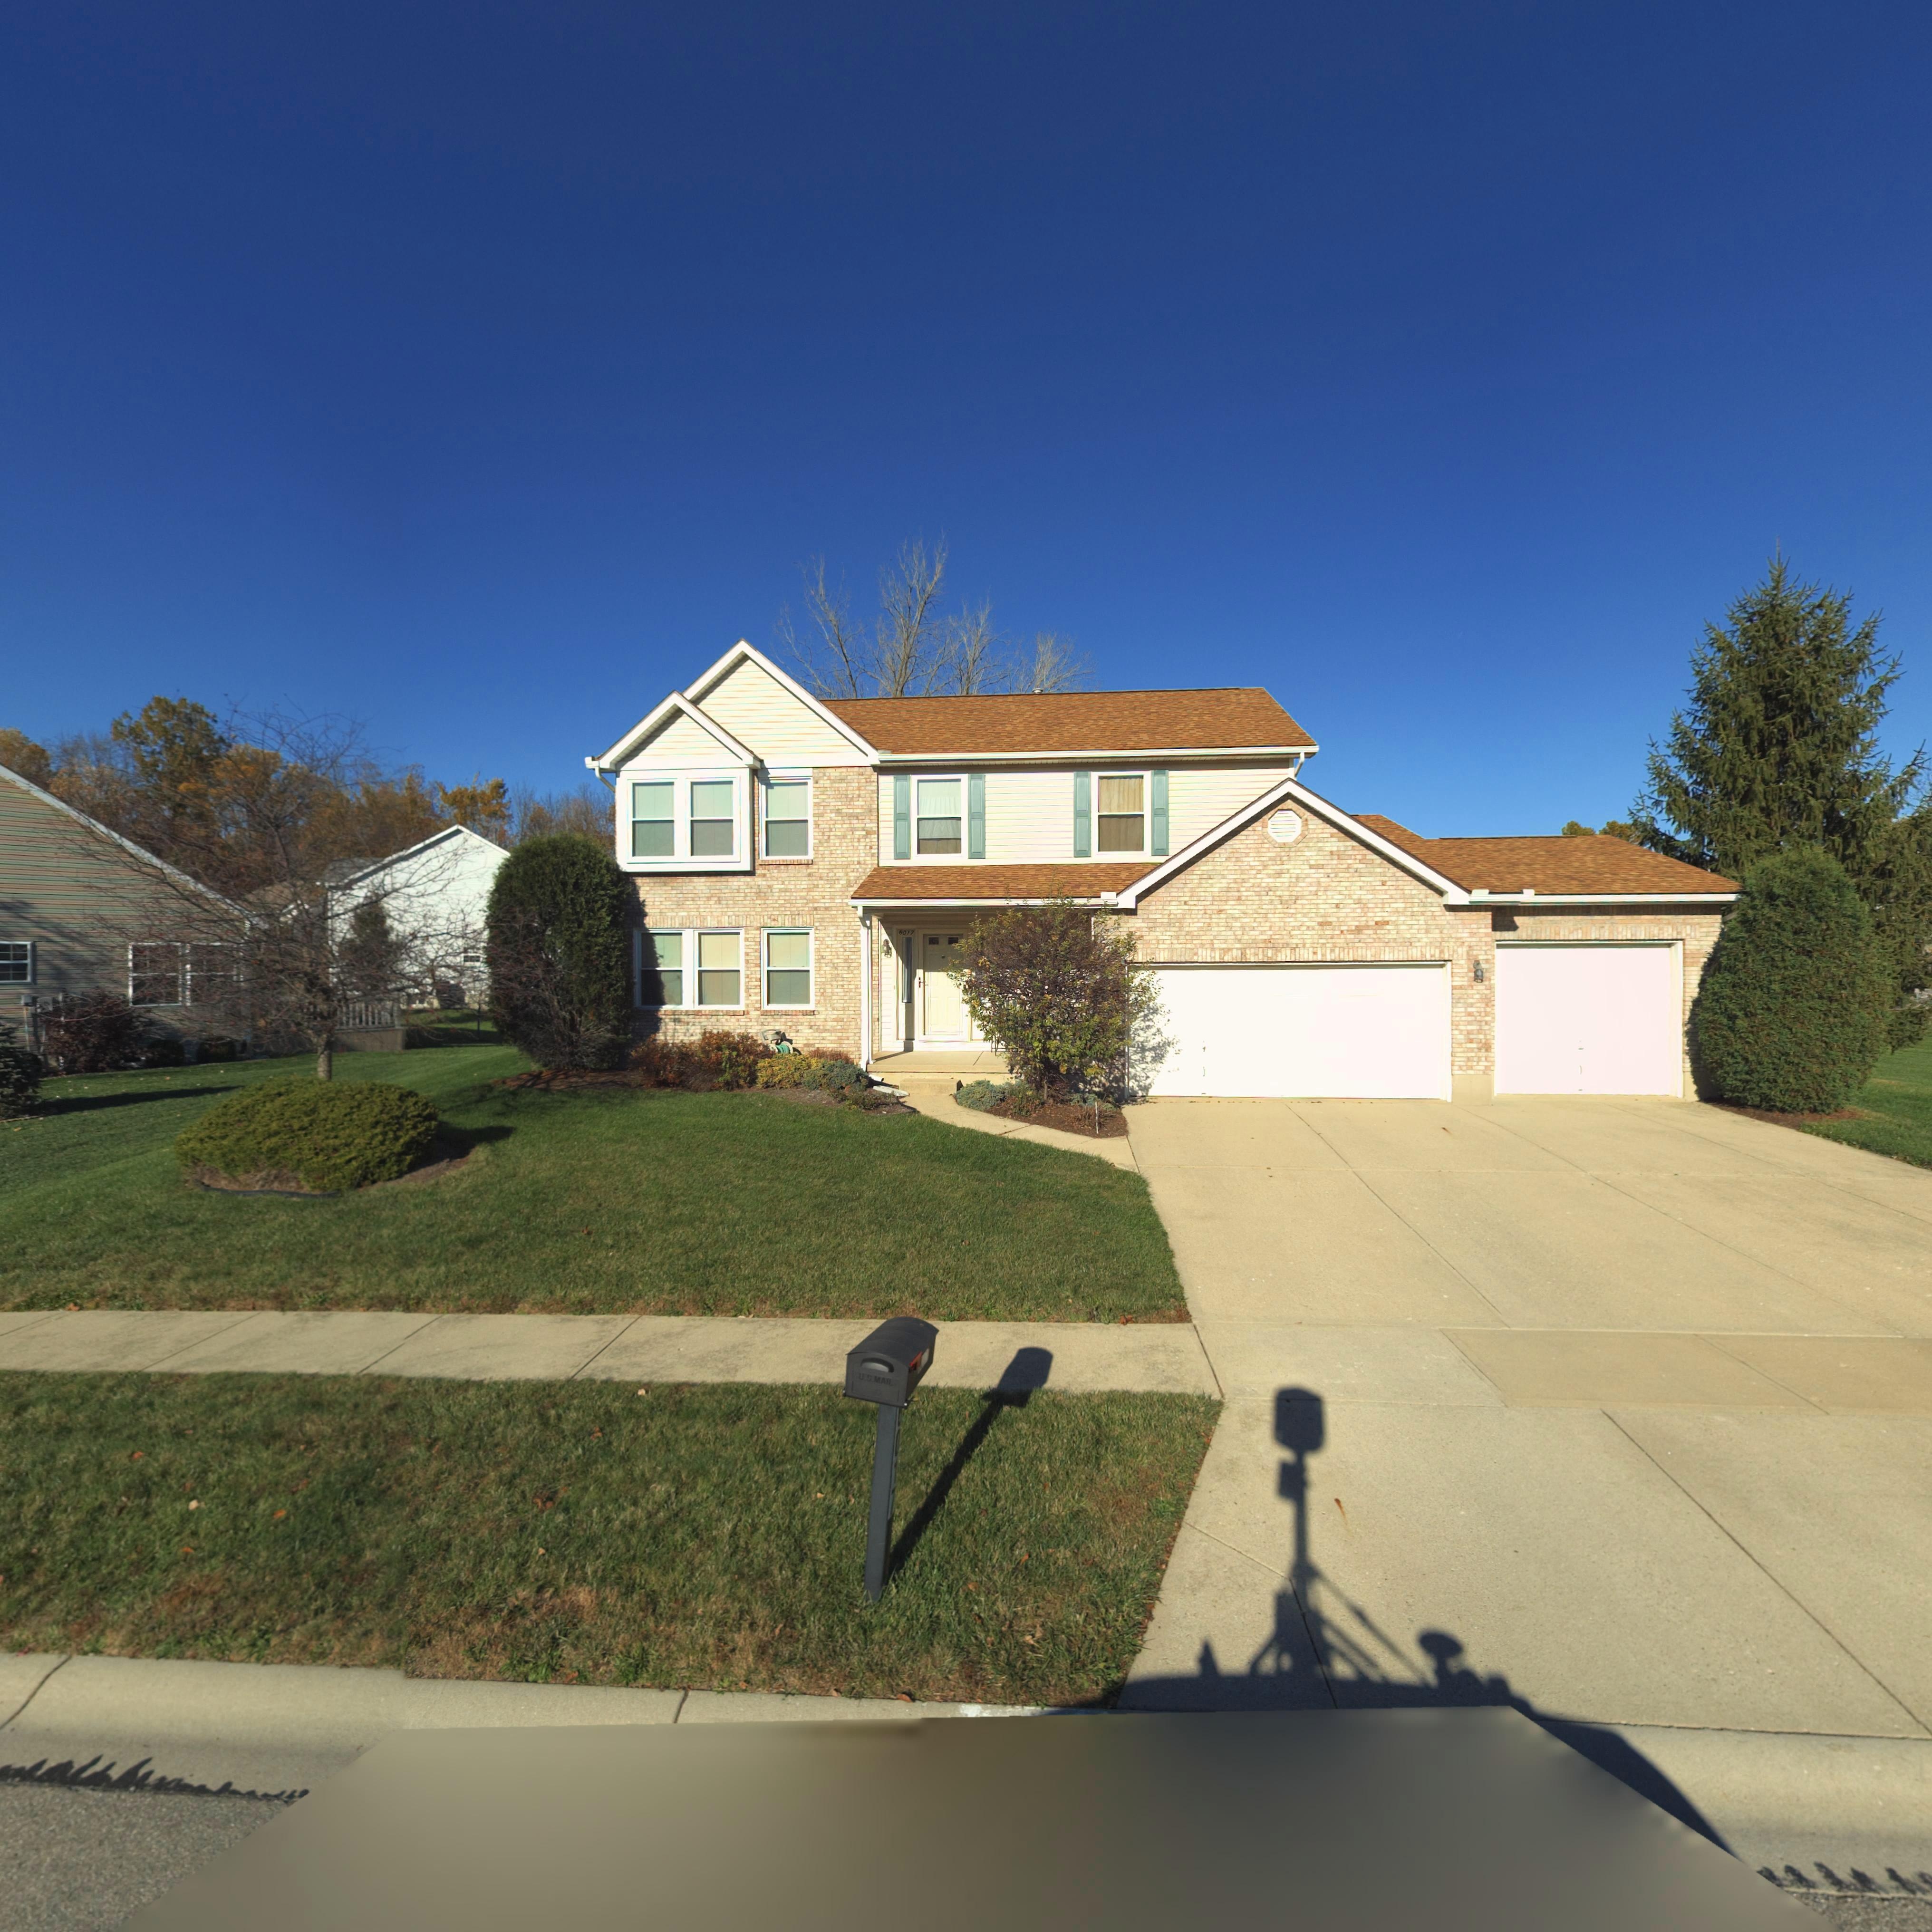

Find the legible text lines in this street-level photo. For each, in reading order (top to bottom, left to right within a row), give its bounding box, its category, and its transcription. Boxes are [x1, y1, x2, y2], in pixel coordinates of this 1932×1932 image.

[898, 929, 916, 937] StreetNumber: 6017
[858, 1372, 893, 1387] None: U.S.MAIL